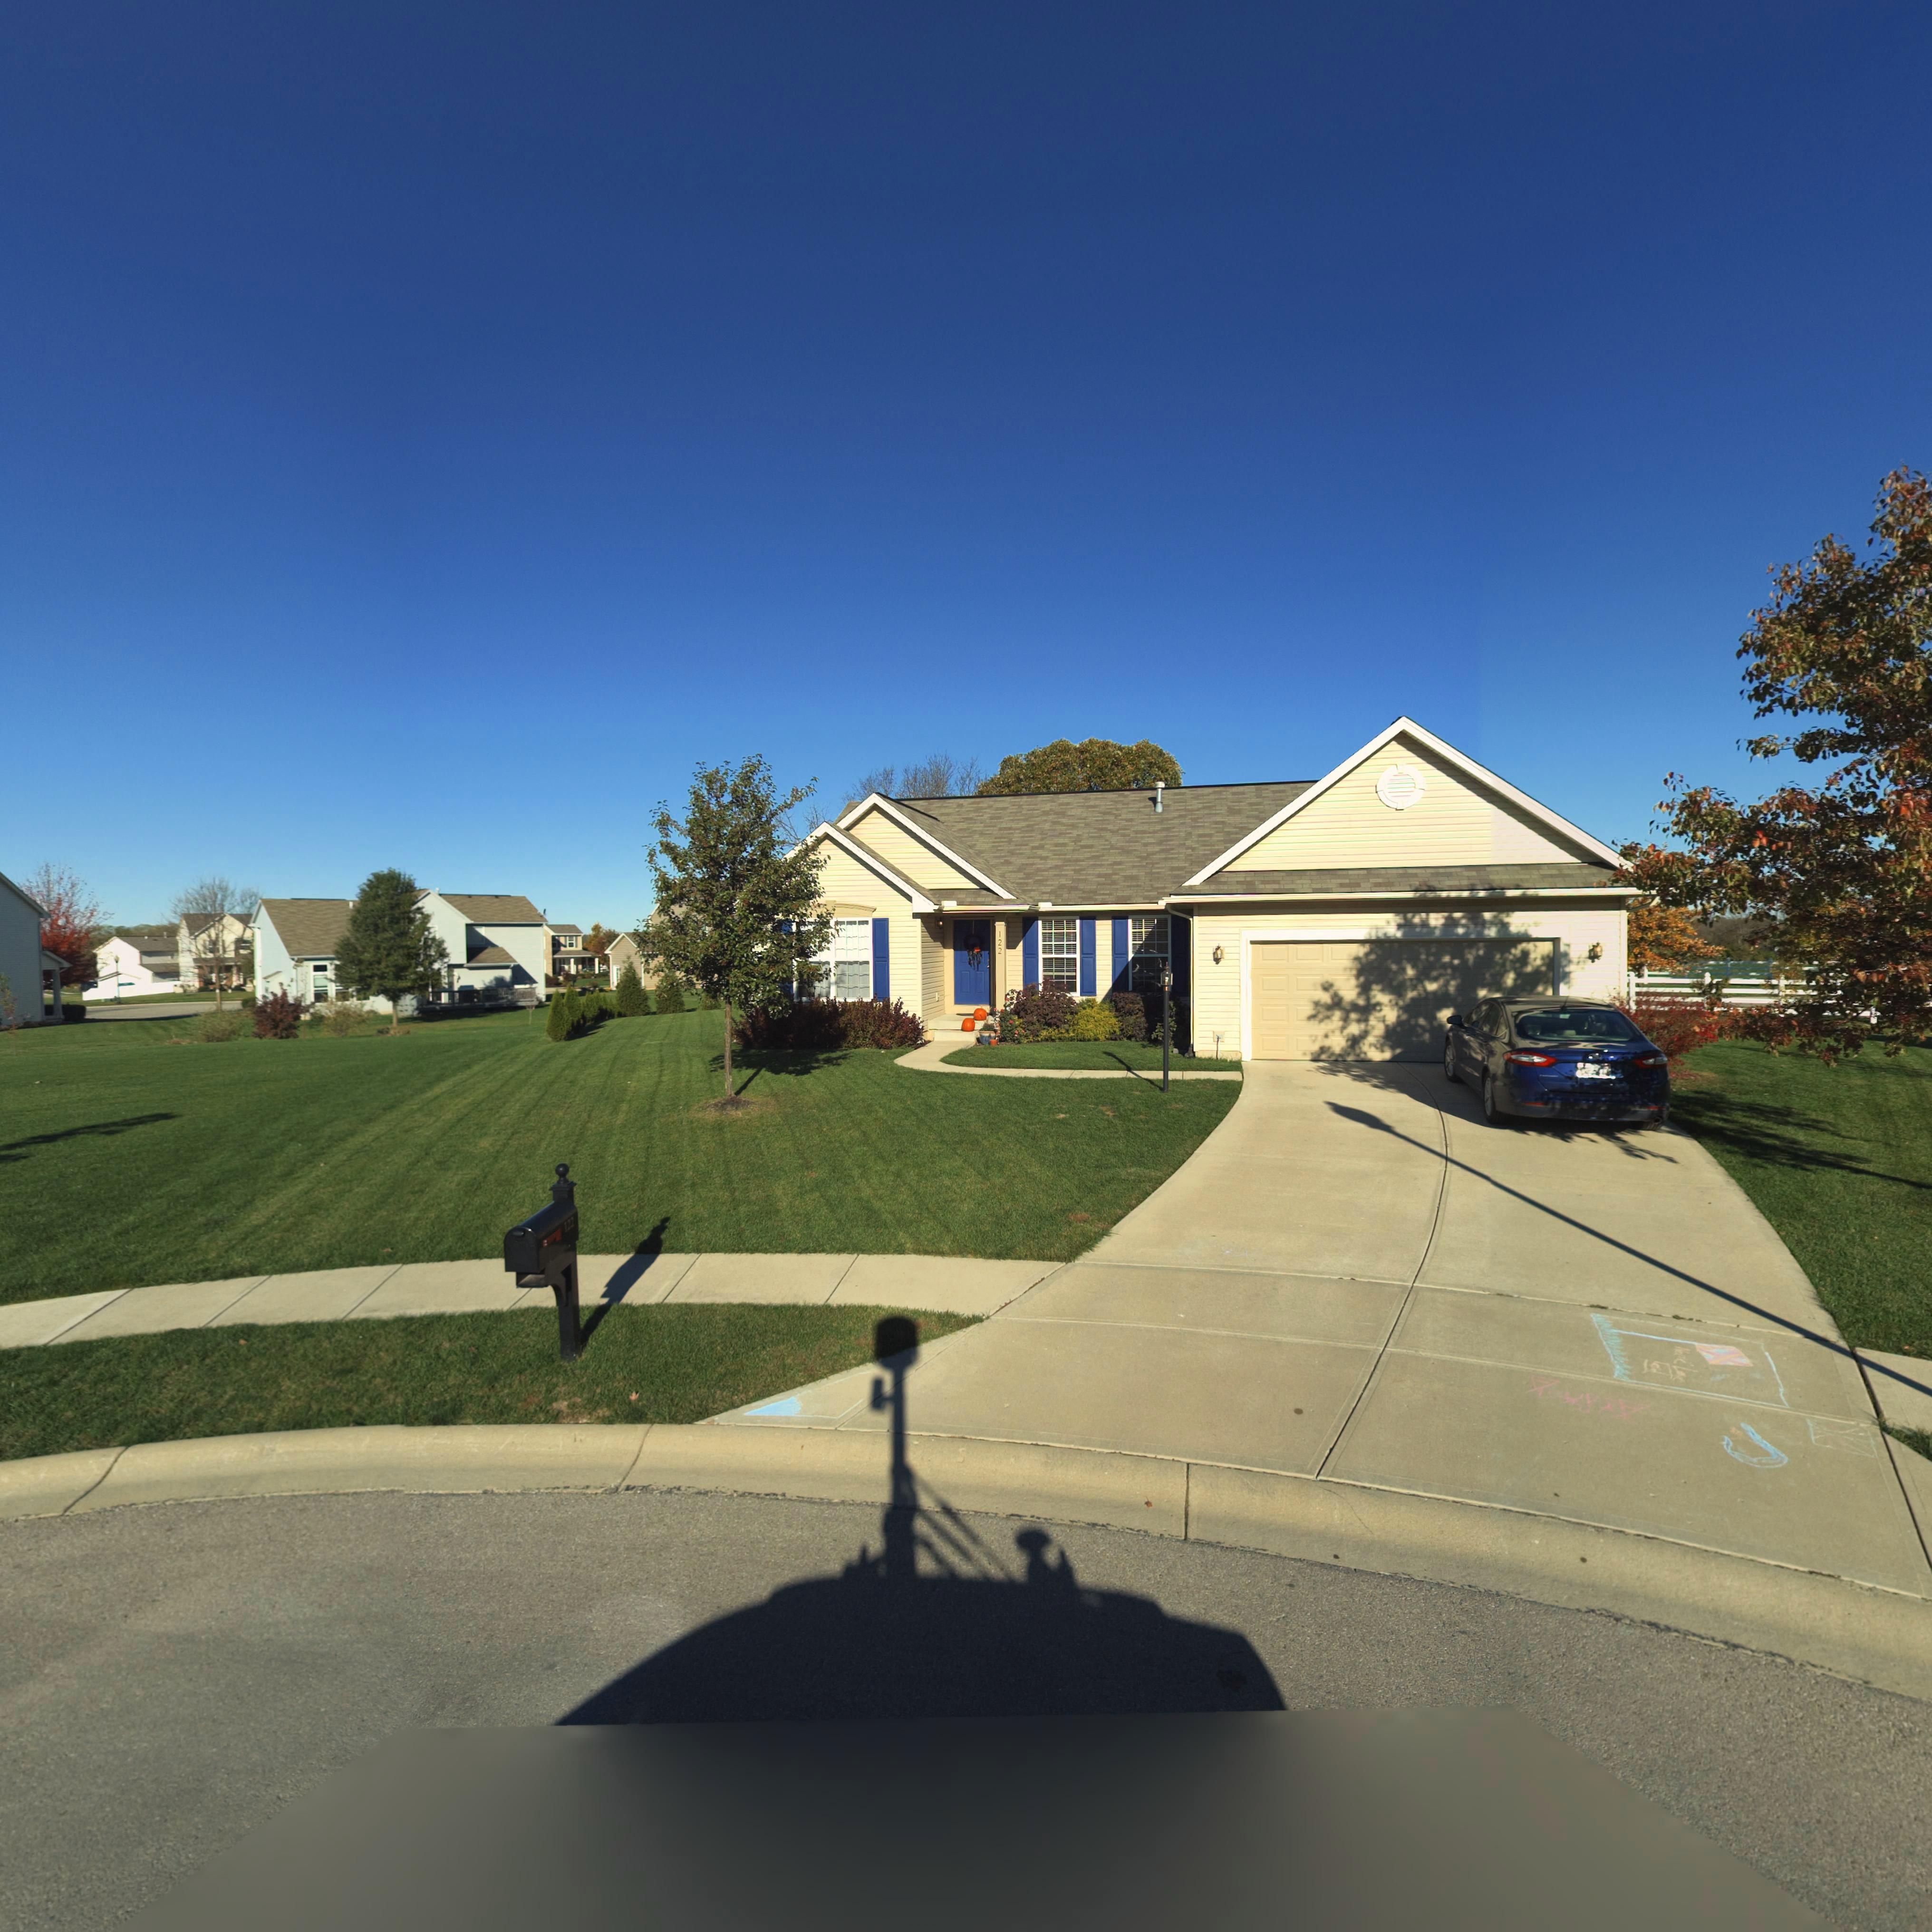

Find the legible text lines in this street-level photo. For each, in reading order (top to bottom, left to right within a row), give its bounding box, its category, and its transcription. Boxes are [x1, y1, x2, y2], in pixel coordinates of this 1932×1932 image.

[562, 1215, 576, 1236] StreetNumber: 122